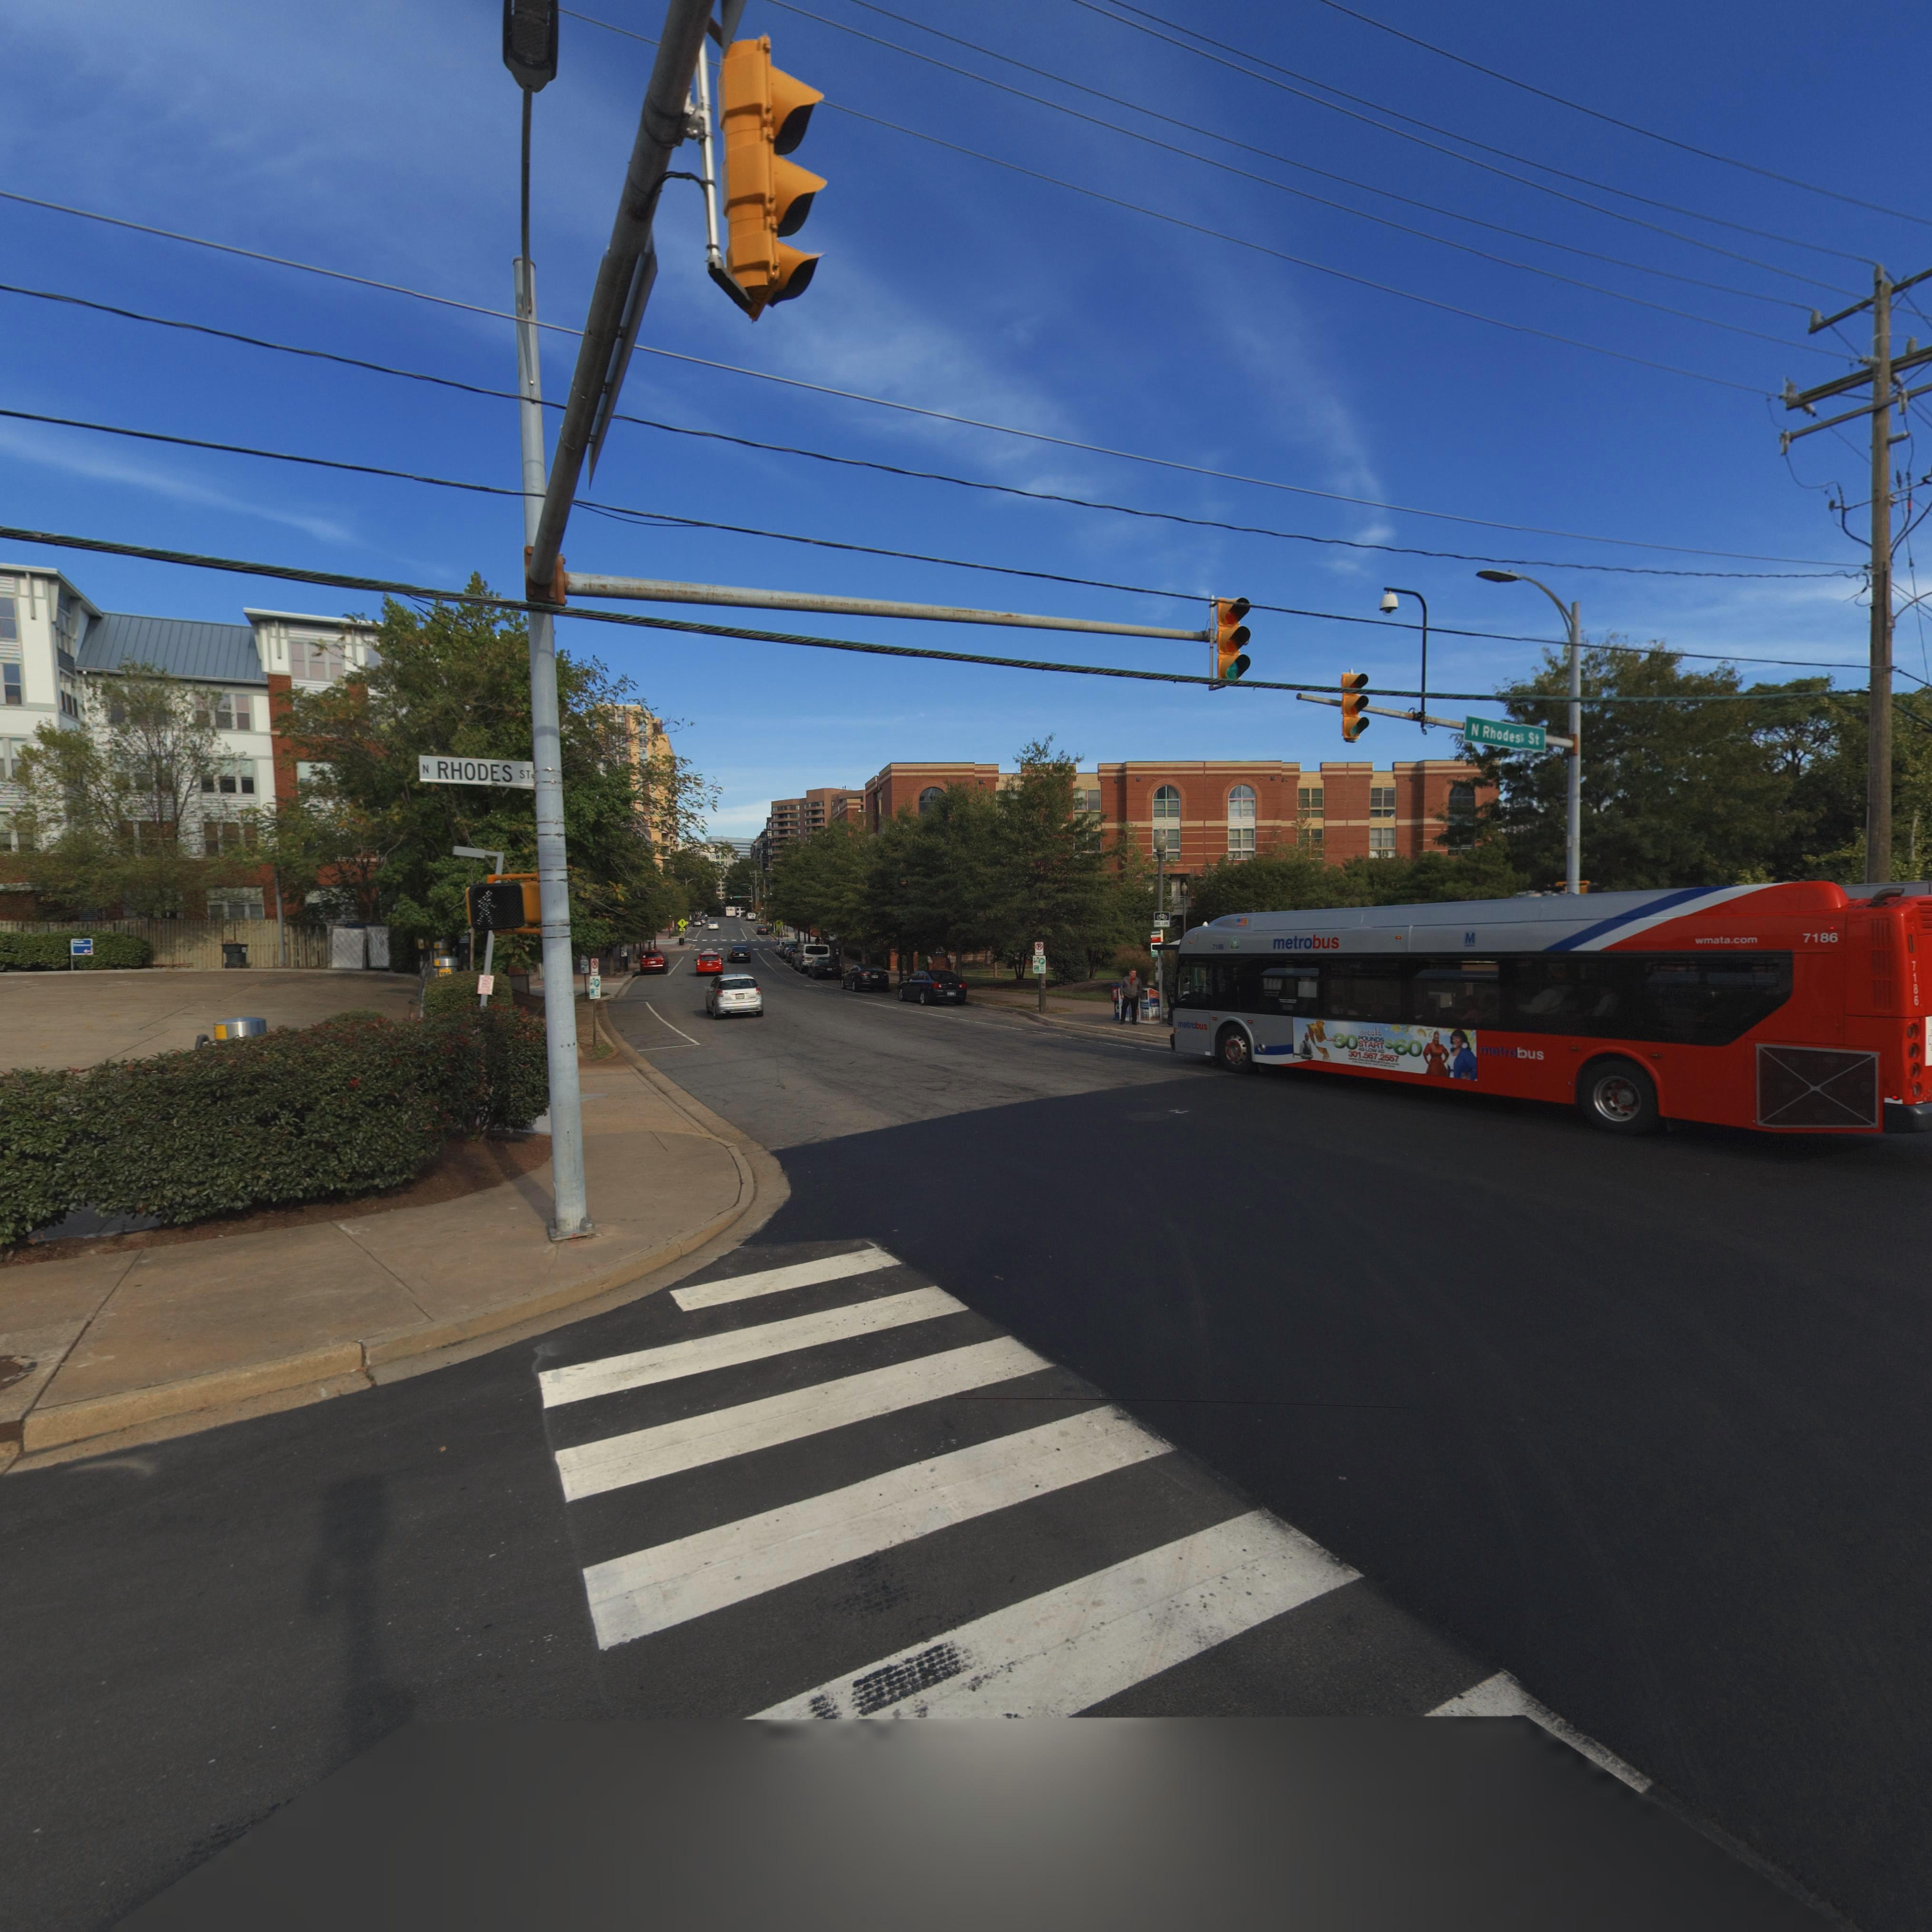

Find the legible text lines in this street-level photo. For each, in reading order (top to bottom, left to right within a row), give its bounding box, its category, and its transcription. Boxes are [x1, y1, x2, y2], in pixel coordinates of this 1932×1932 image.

[1469, 721, 1542, 748] StreetName: N Rhode**St
[421, 760, 532, 784] StreetName: N RHODES ST
[1211, 943, 1225, 951] None: 71**
[1272, 933, 1341, 950] None: metrobus
[1463, 931, 1477, 945] None: M
[1693, 935, 1759, 946] None: wmata.com
[1800, 930, 1841, 946] None: 7186
[1039, 958, 1045, 965] None: P
[1177, 1020, 1209, 1032] None: metrobus
[1358, 1024, 1383, 1037] None: decalo
[1324, 1035, 1338, 1043] None: lo***
[1332, 1032, 1359, 1050] None: 30
[1356, 1046, 1386, 1054] None: ** LOW AS
[1357, 1034, 1386, 1043] None: POUNDS
[1358, 1040, 1385, 1050] None: START
[1347, 1050, 1401, 1063] None: 301.567.2557
[1391, 1037, 1424, 1058] None: 60
[1479, 1044, 1546, 1062] None: metro*us